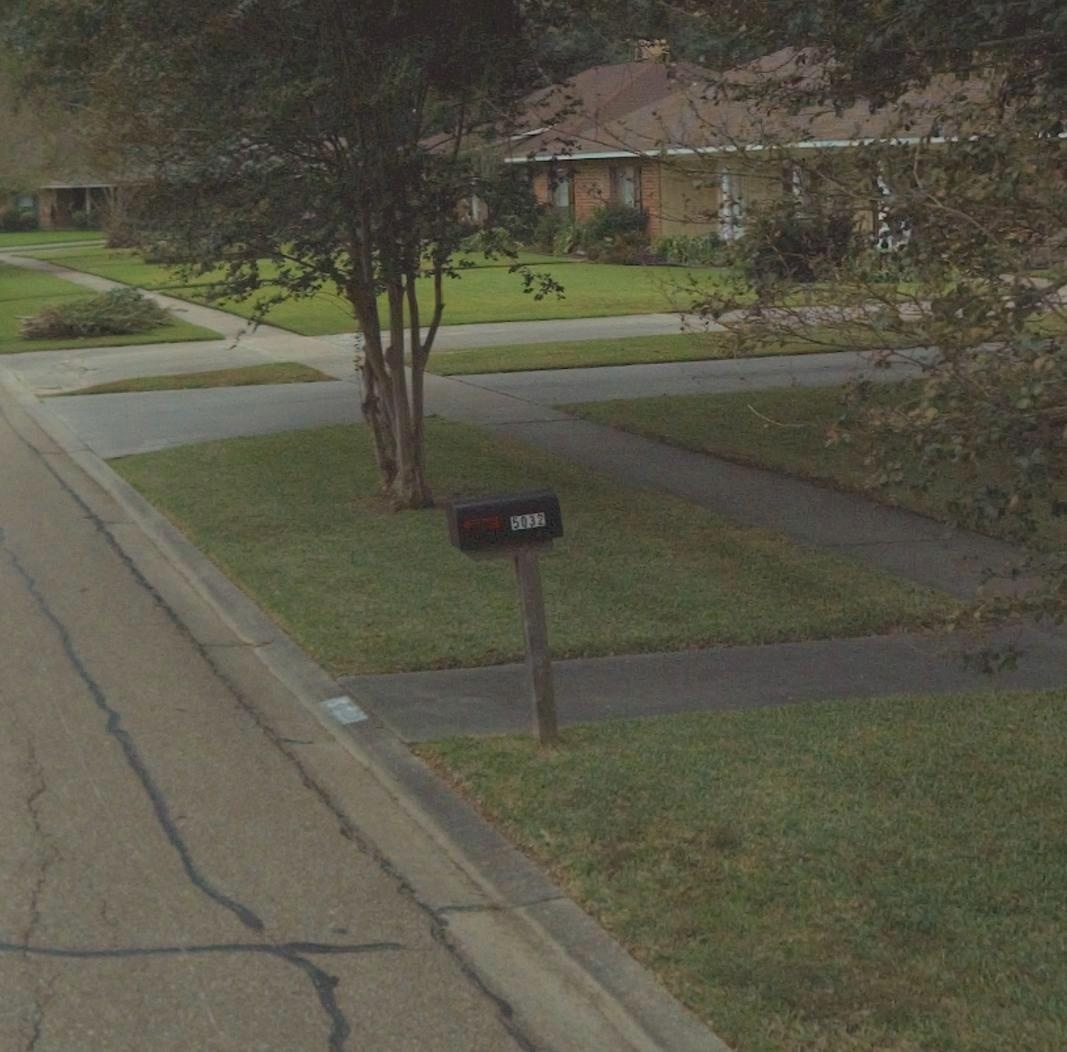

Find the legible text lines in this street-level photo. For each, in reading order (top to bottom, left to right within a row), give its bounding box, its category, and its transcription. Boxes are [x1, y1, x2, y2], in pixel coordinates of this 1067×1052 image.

[512, 513, 545, 529] StreetNumber: 5032